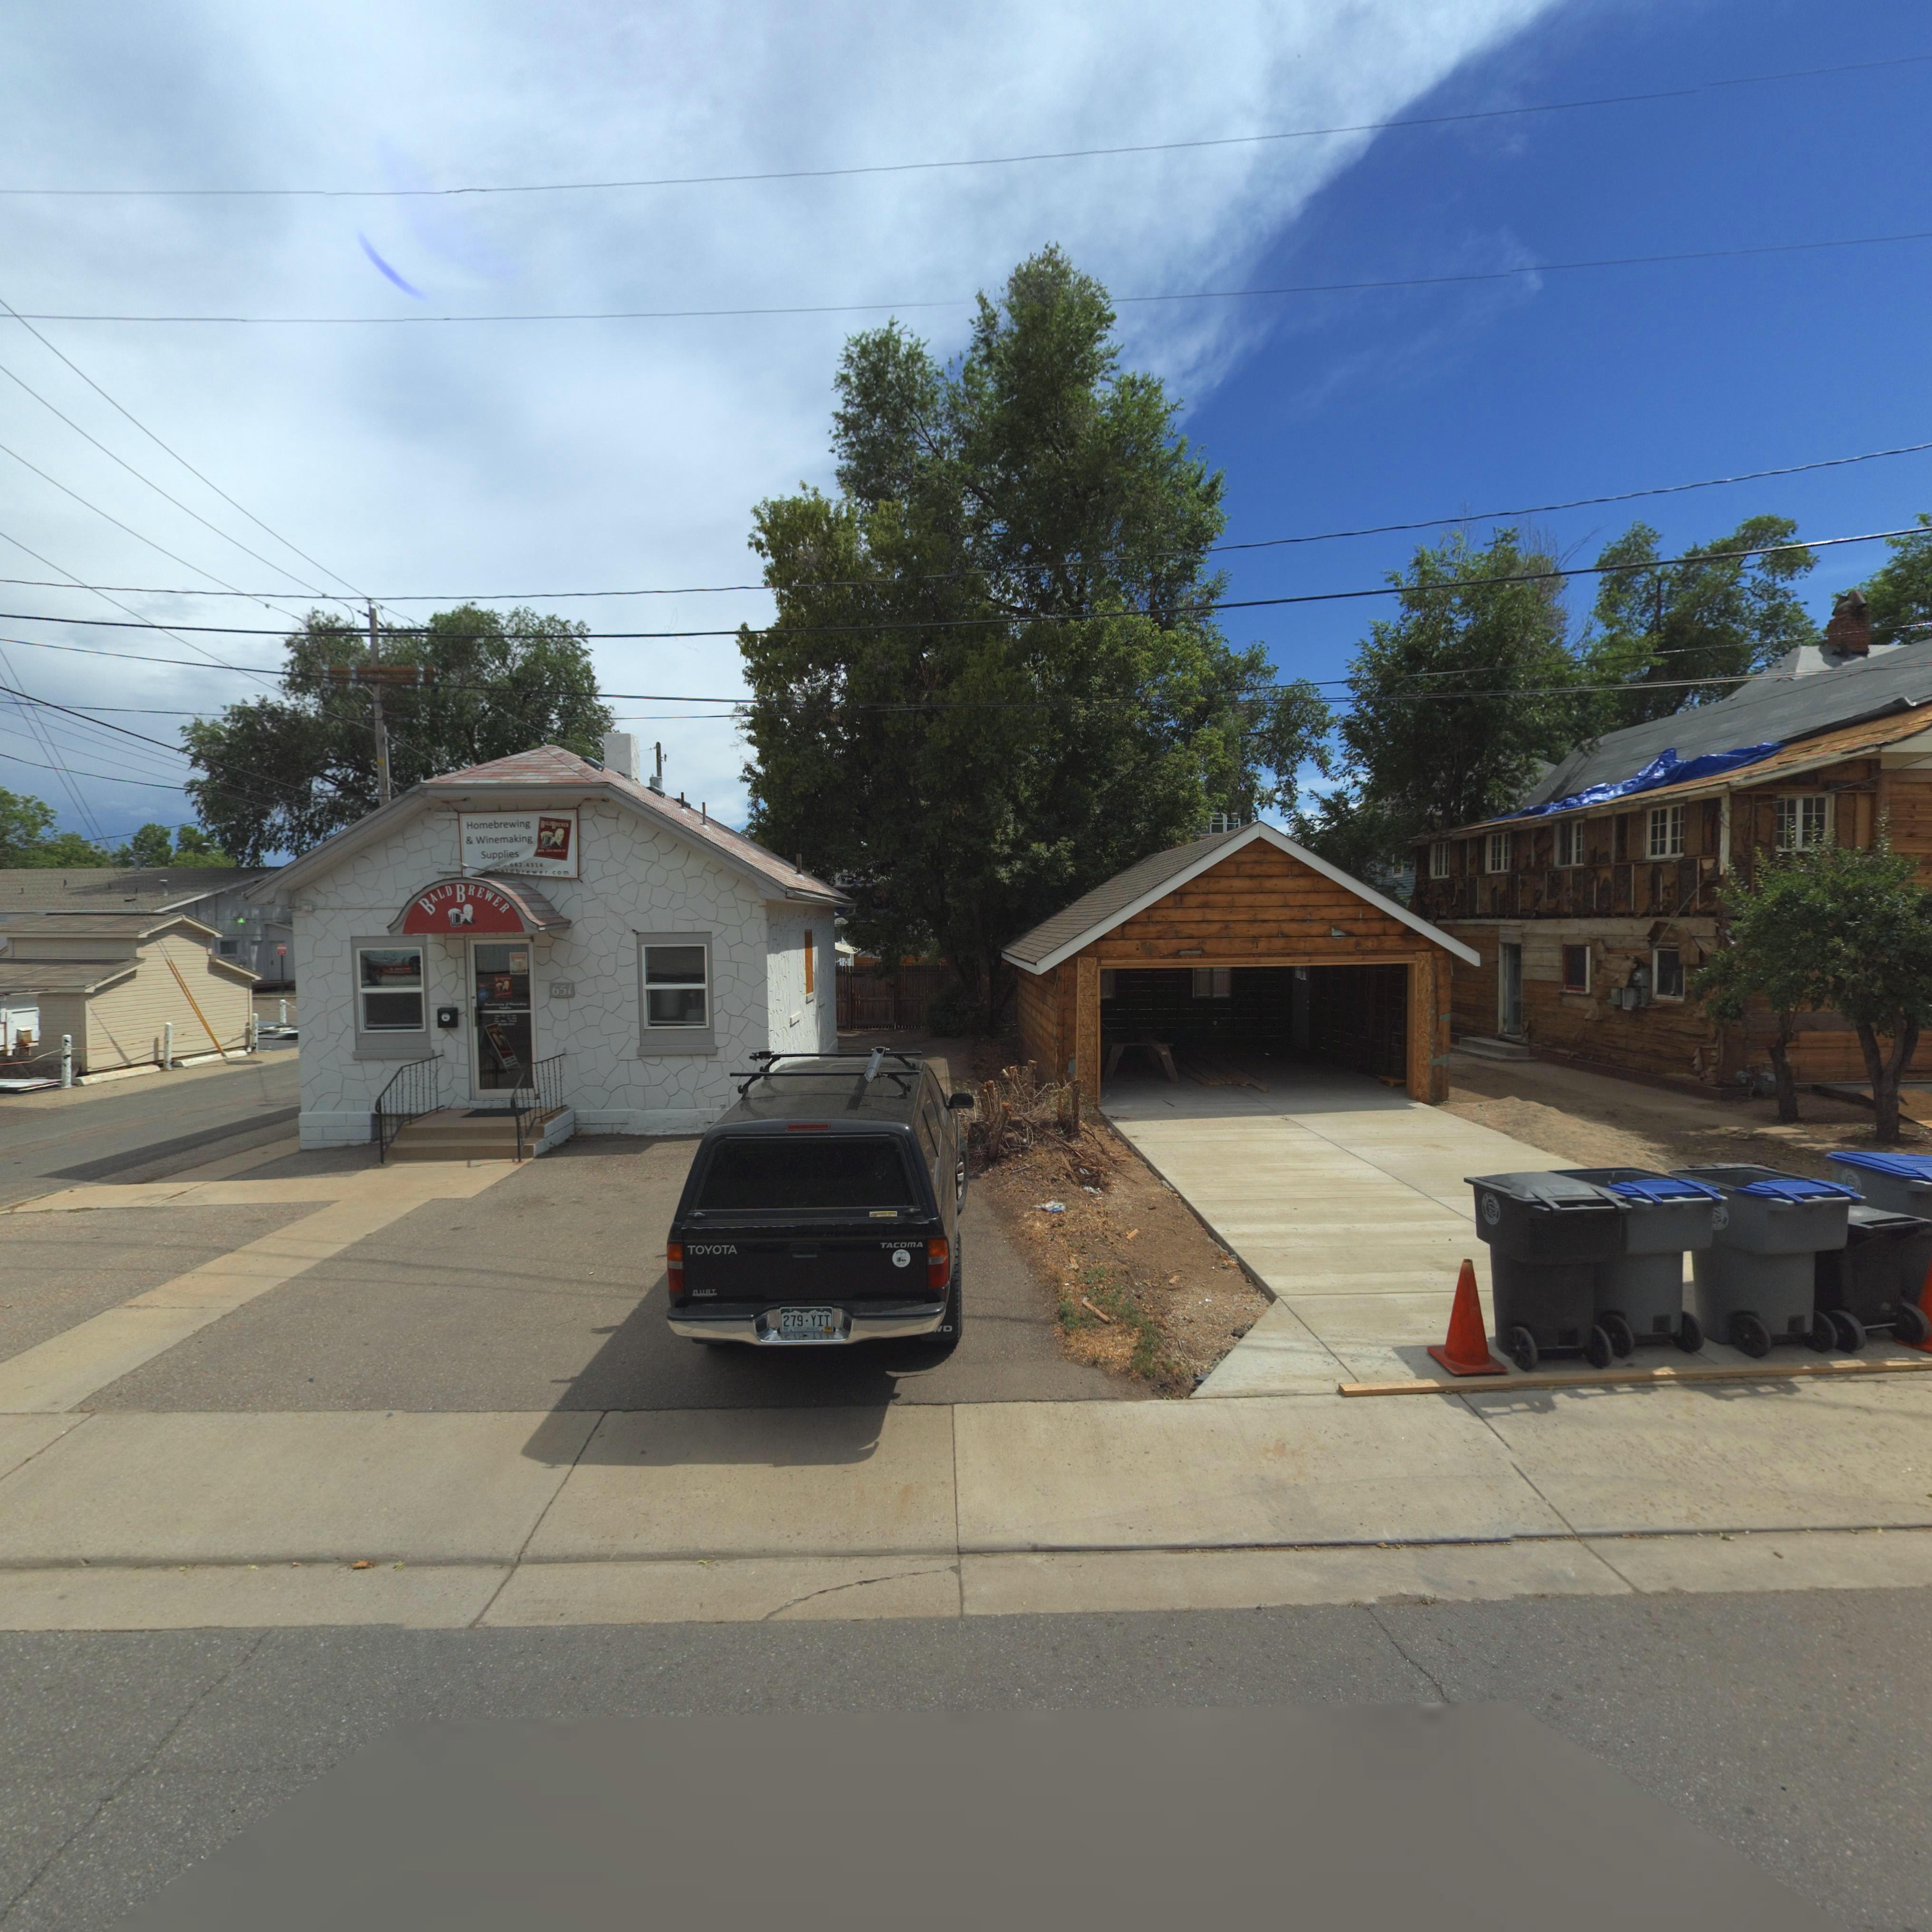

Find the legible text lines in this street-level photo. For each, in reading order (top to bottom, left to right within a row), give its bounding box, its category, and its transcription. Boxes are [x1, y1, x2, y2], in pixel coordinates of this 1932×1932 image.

[540, 819, 569, 830] BusinessName: BALDBREWER
[417, 883, 510, 917] BusinessName: BALD BREWER
[552, 984, 571, 996] StreetNumber: 651